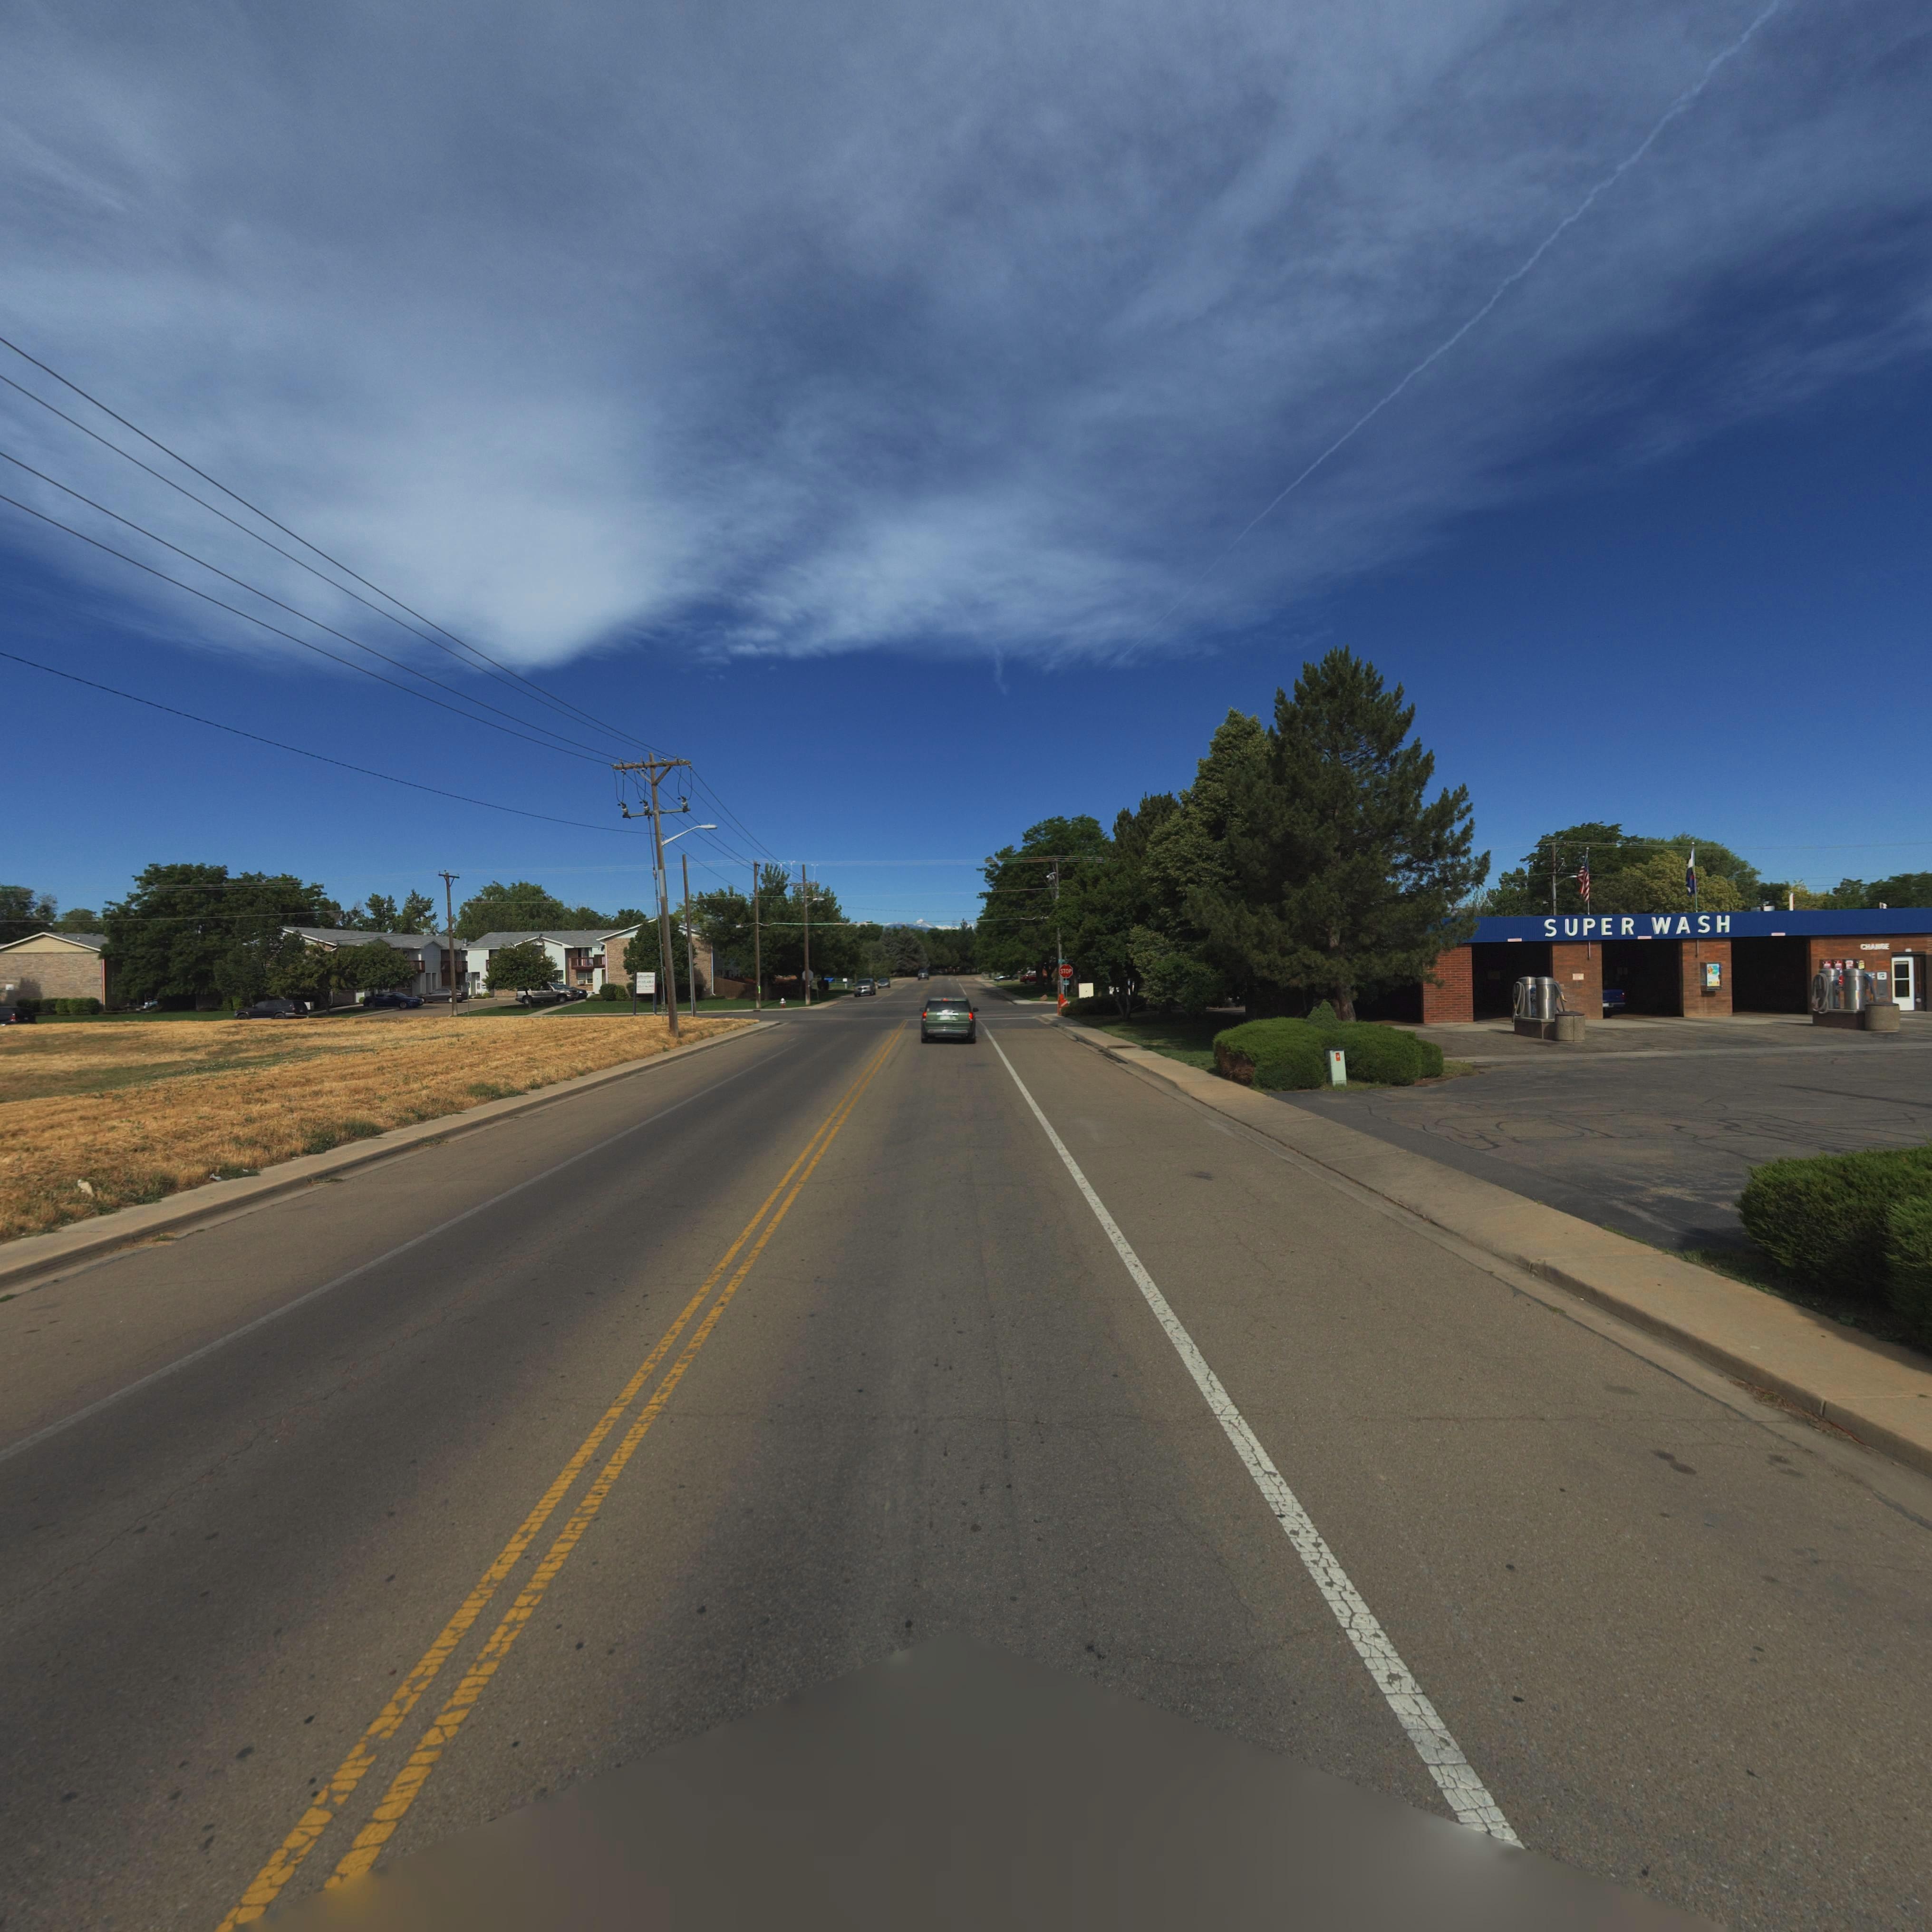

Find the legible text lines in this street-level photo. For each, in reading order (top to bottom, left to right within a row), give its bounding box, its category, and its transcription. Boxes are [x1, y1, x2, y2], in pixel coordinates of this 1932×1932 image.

[1543, 915, 1730, 937] BusinessName: SUPER WASH